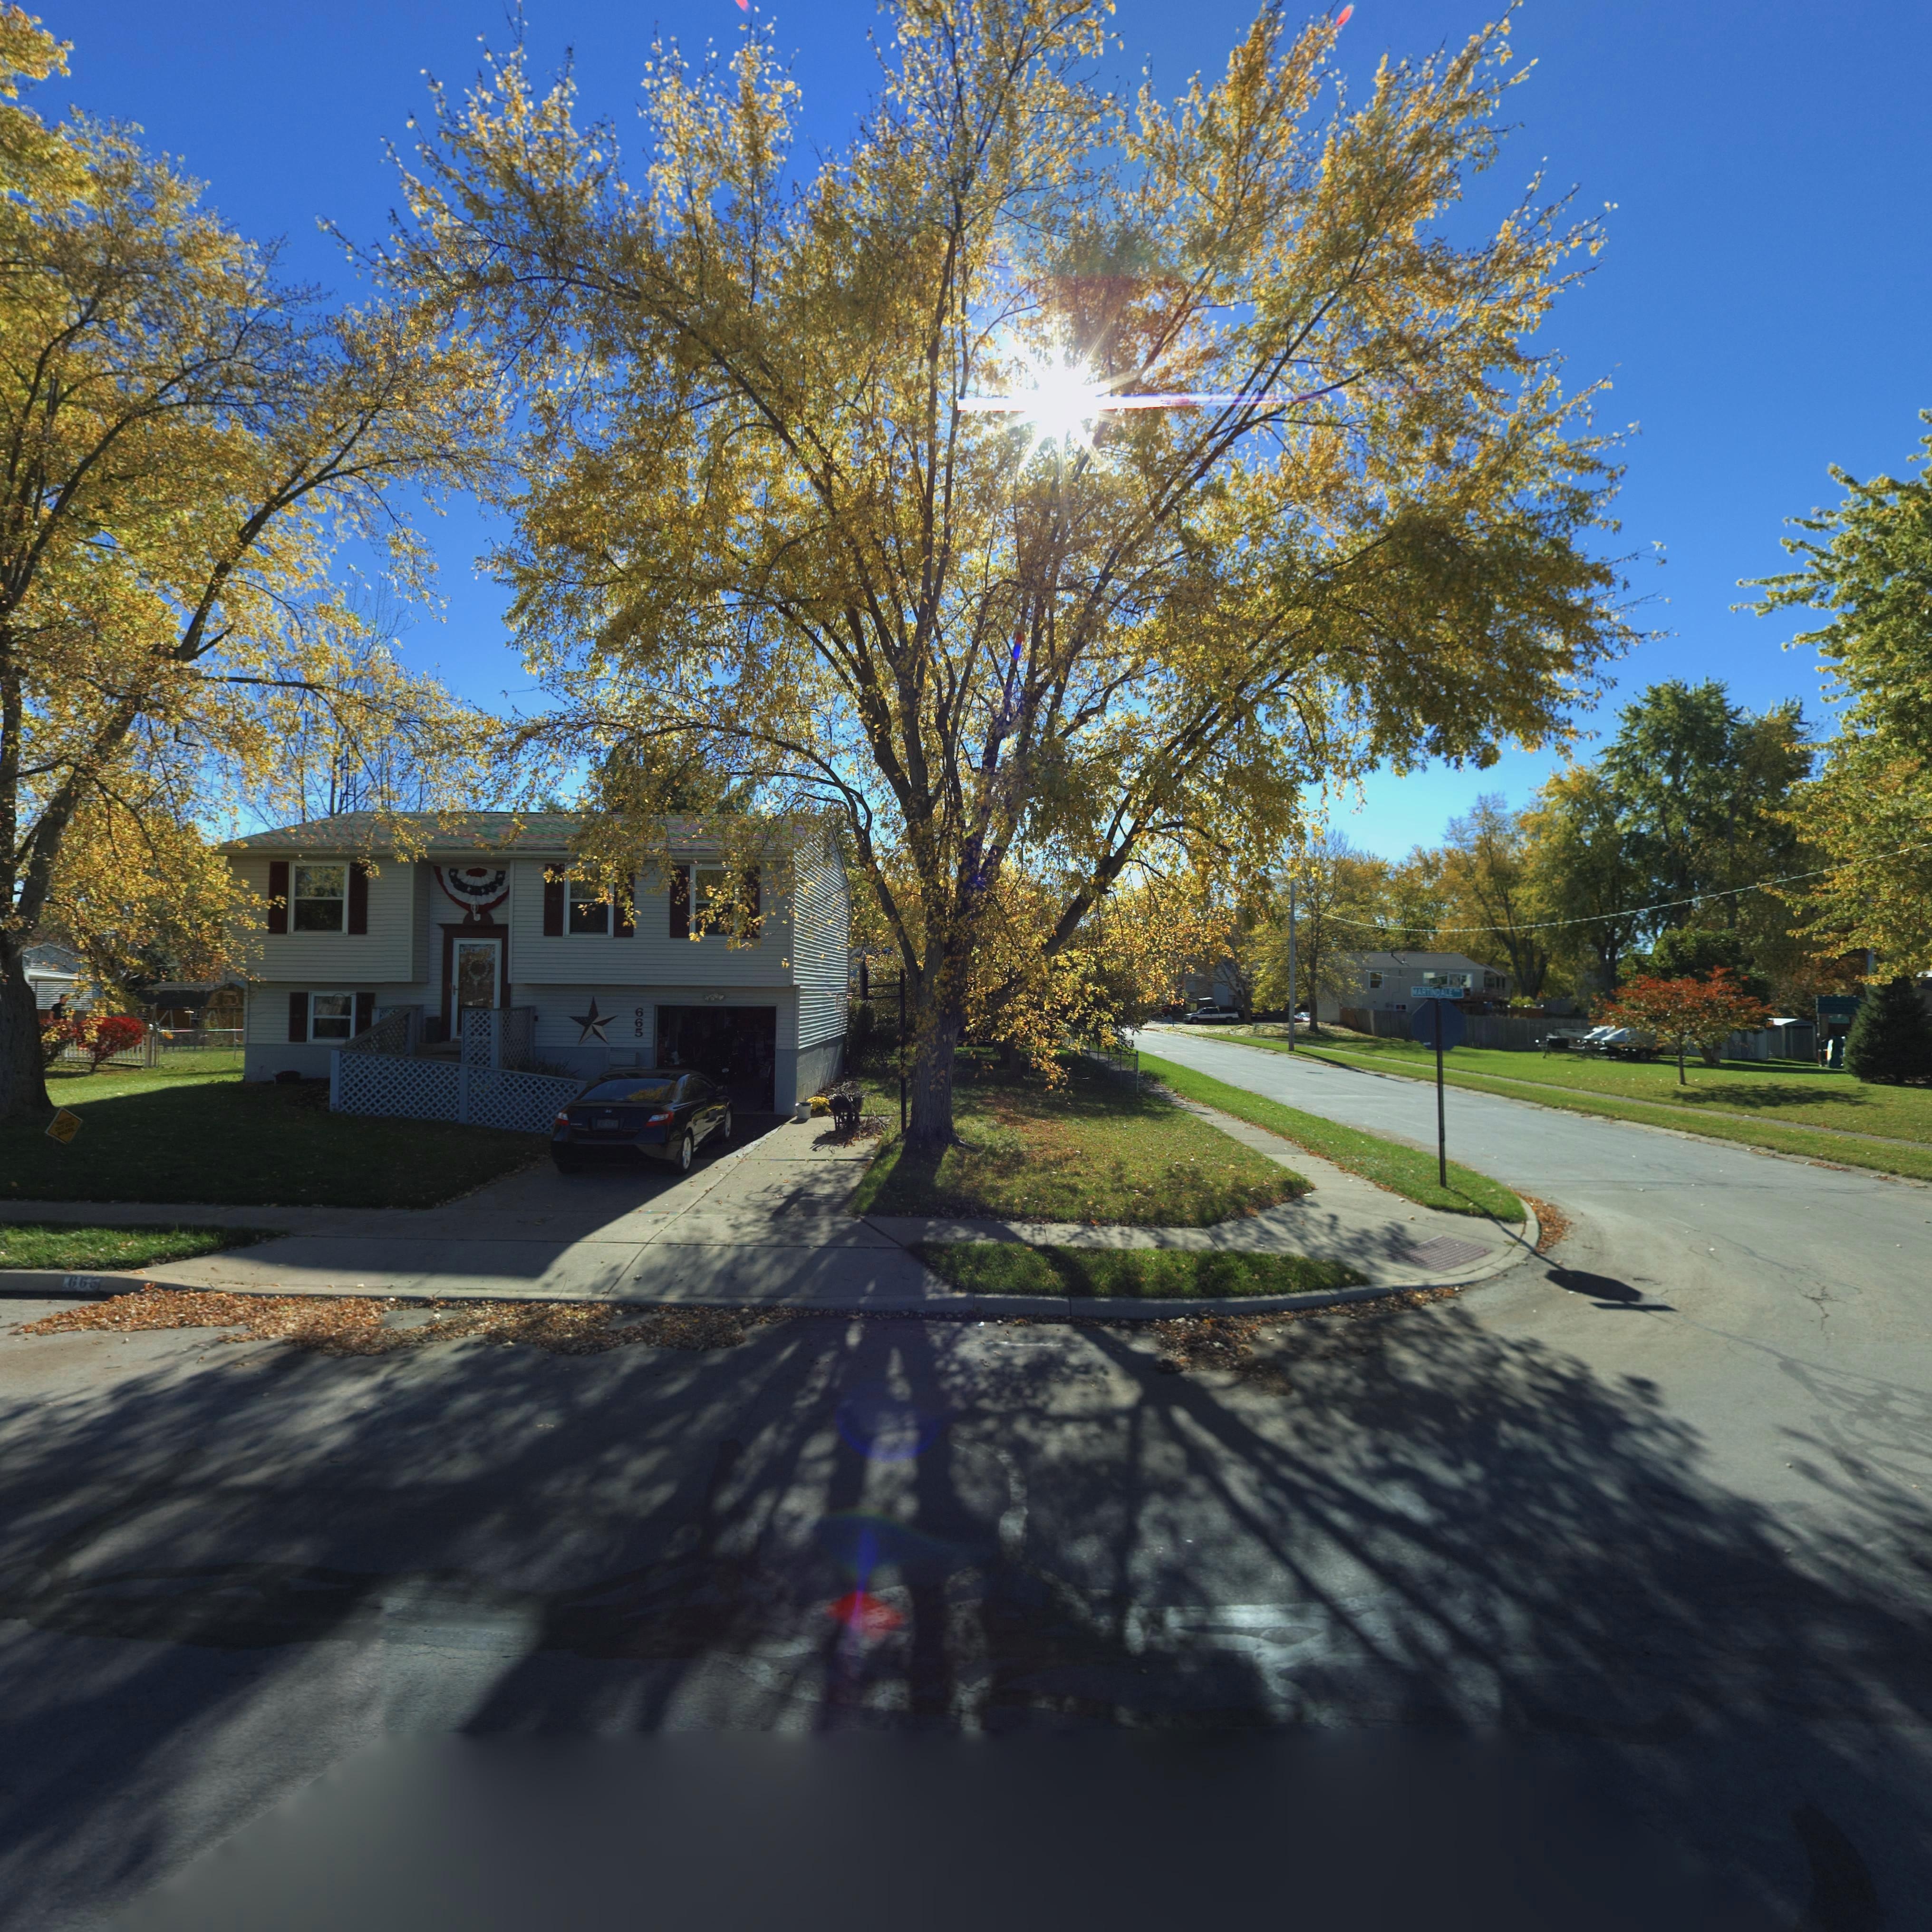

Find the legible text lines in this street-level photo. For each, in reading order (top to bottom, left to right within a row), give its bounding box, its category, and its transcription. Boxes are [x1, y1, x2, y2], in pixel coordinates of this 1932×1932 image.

[1411, 987, 1454, 998] StreetName: MARTINDALE
[635, 1007, 644, 1038] StreetNumber: 665
[68, 1275, 100, 1290] StreetNumber: 665